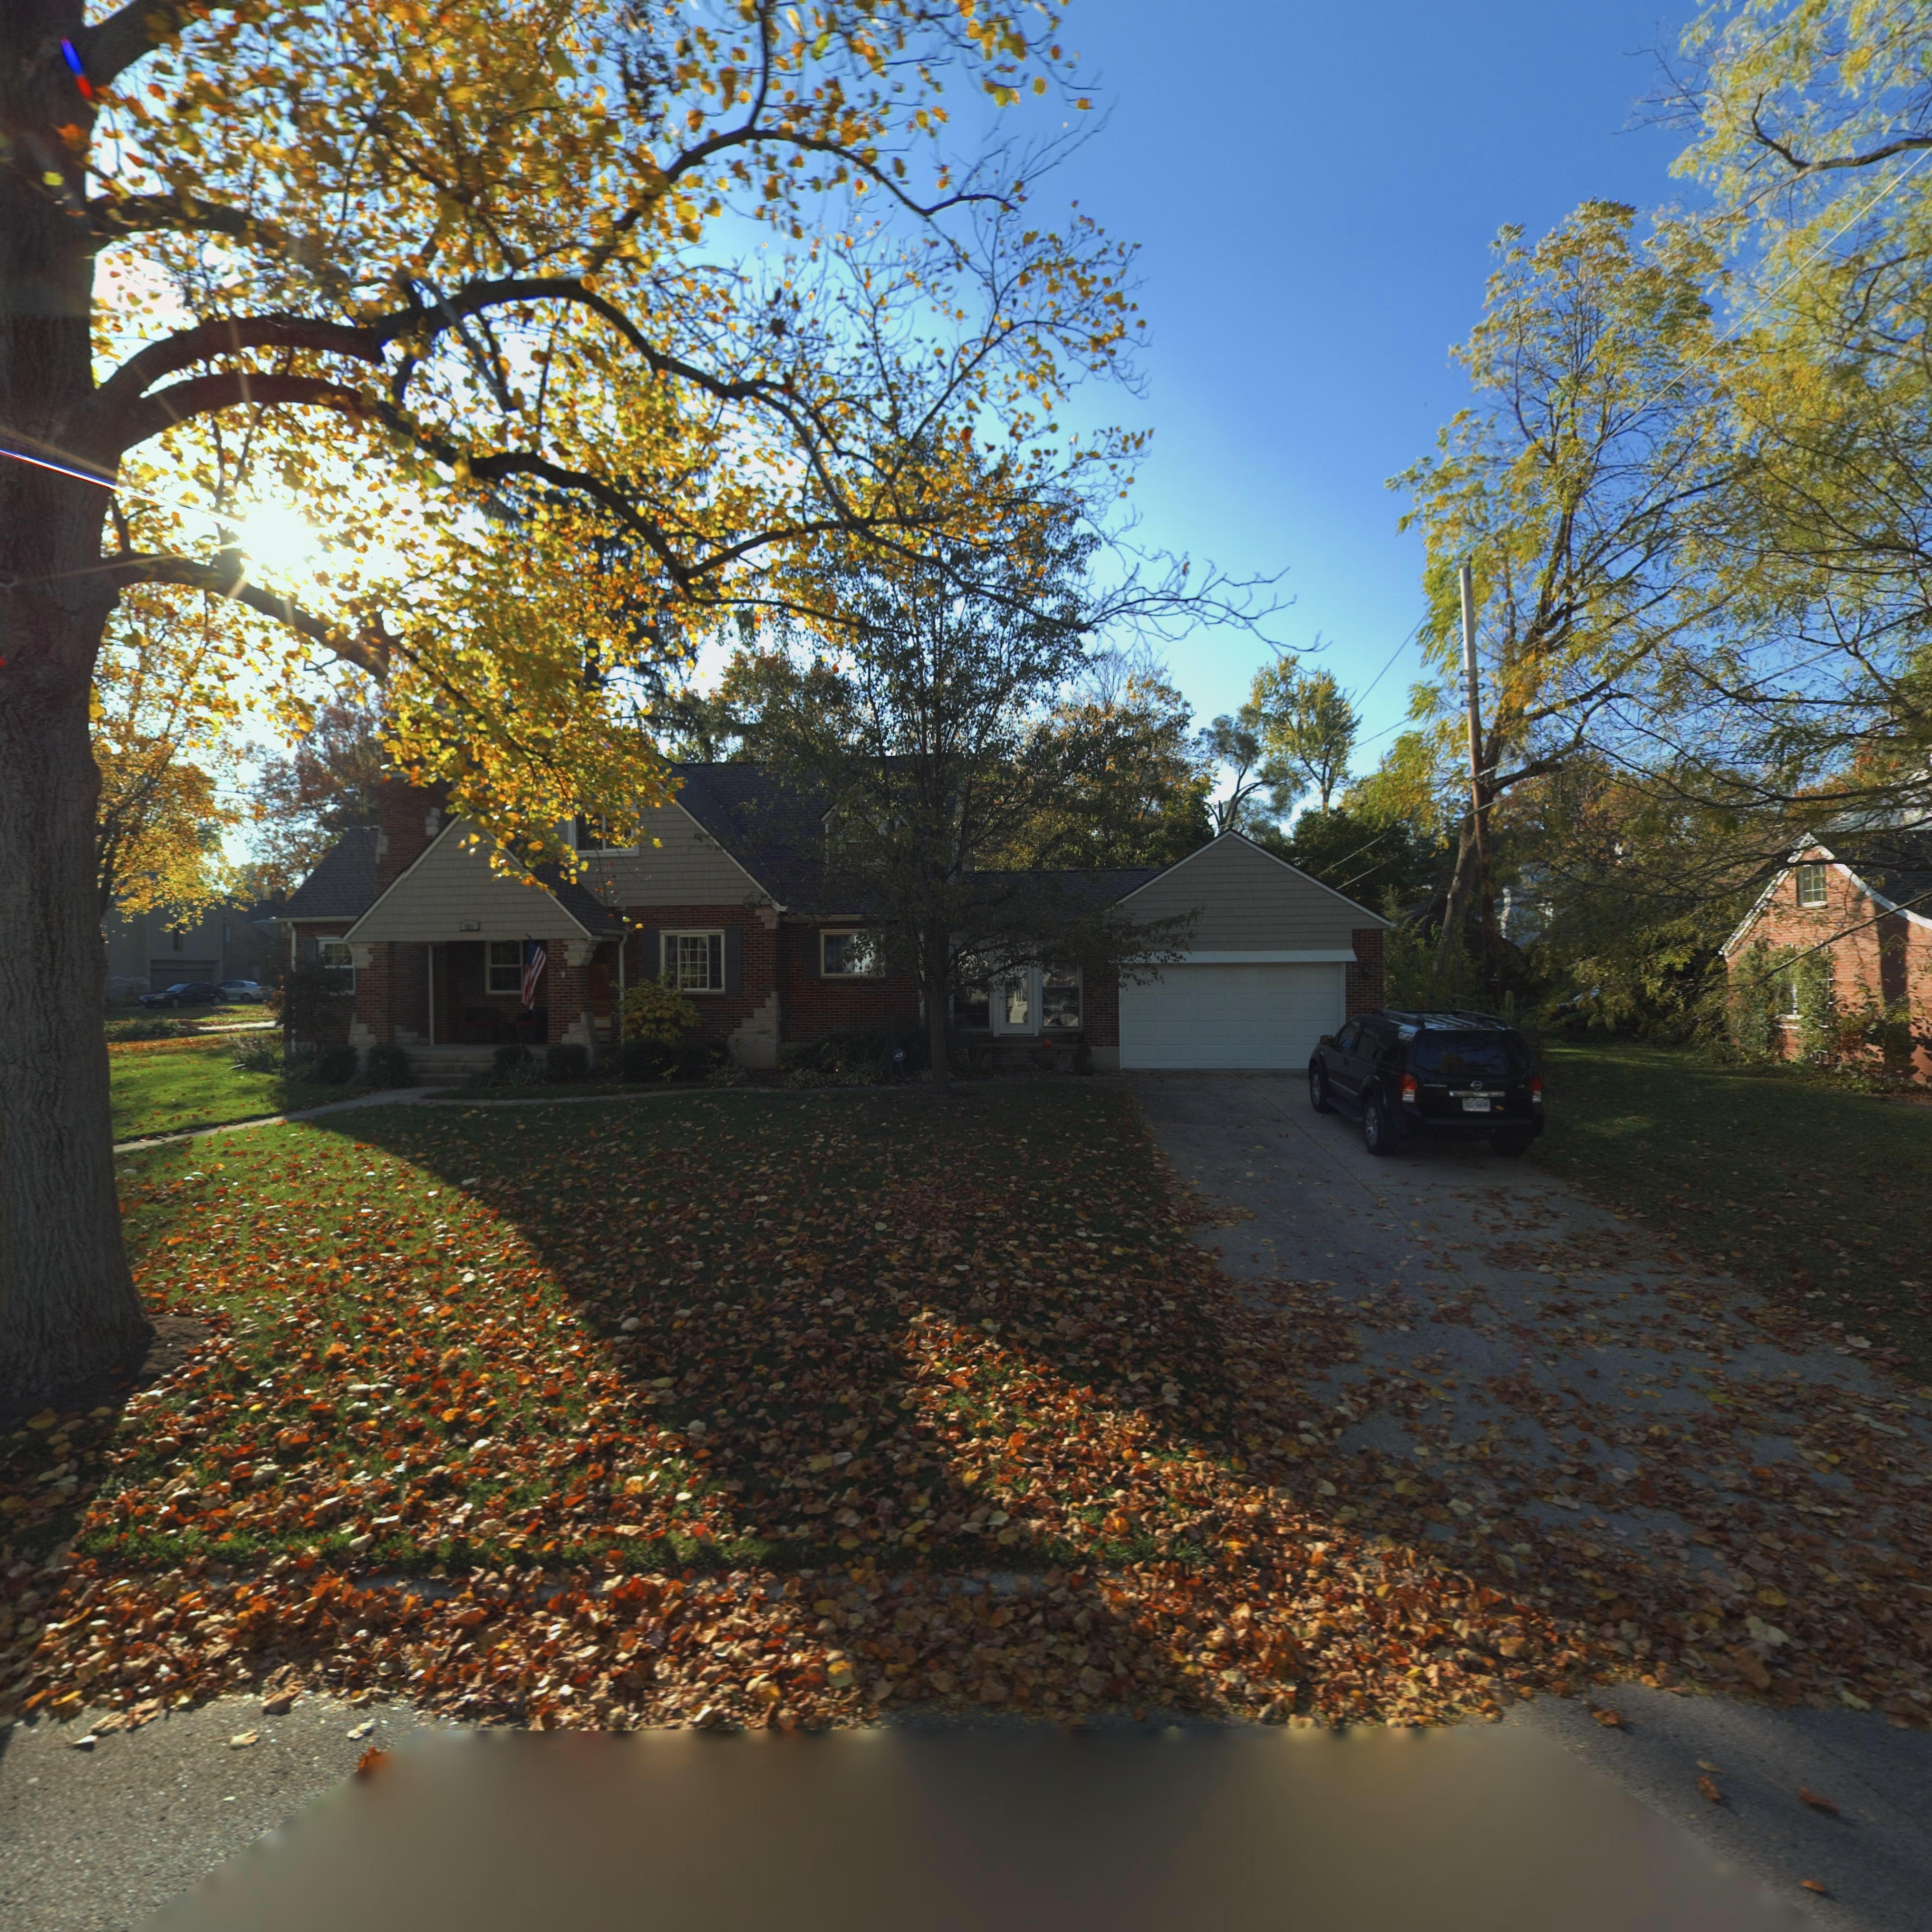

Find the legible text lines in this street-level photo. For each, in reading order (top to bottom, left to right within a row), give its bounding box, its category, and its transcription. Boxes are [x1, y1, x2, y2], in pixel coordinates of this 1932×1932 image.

[464, 923, 474, 930] StreetNumber: 821